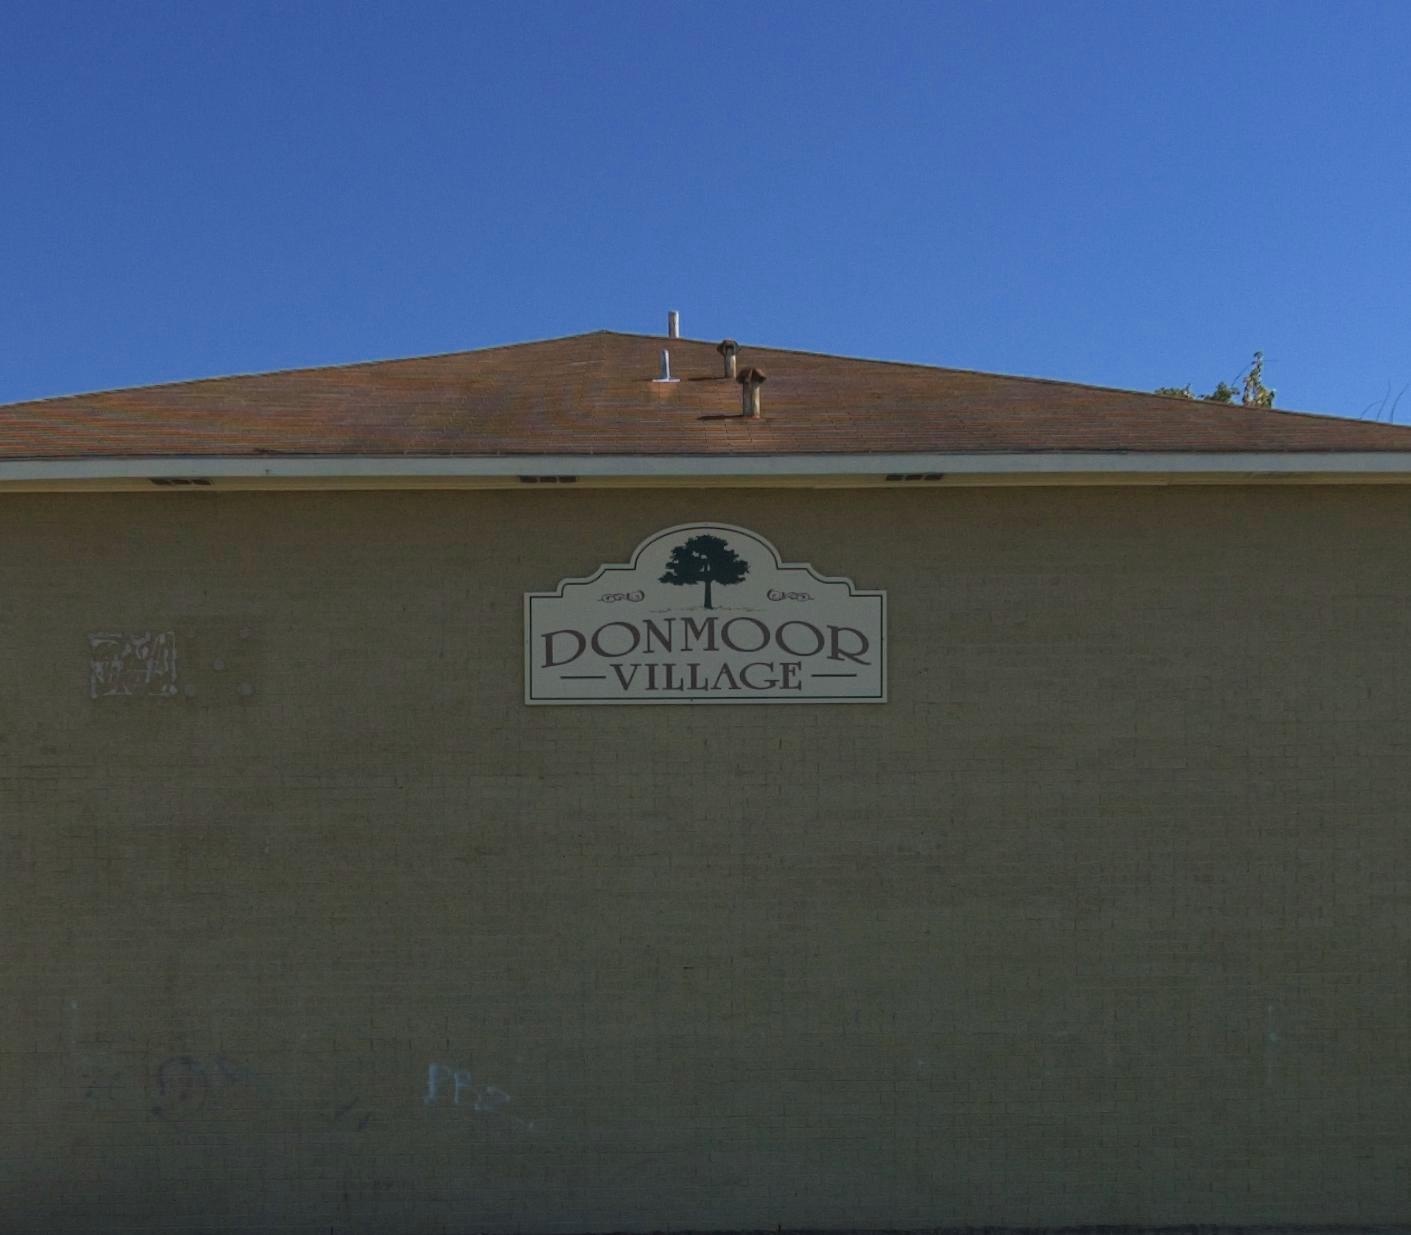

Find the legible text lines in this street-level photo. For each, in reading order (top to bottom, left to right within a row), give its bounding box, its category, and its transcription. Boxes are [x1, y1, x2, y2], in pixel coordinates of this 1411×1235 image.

[538, 614, 876, 671] BusinessName: DONMOOR
[605, 658, 805, 694] BusinessName: VILLAGE